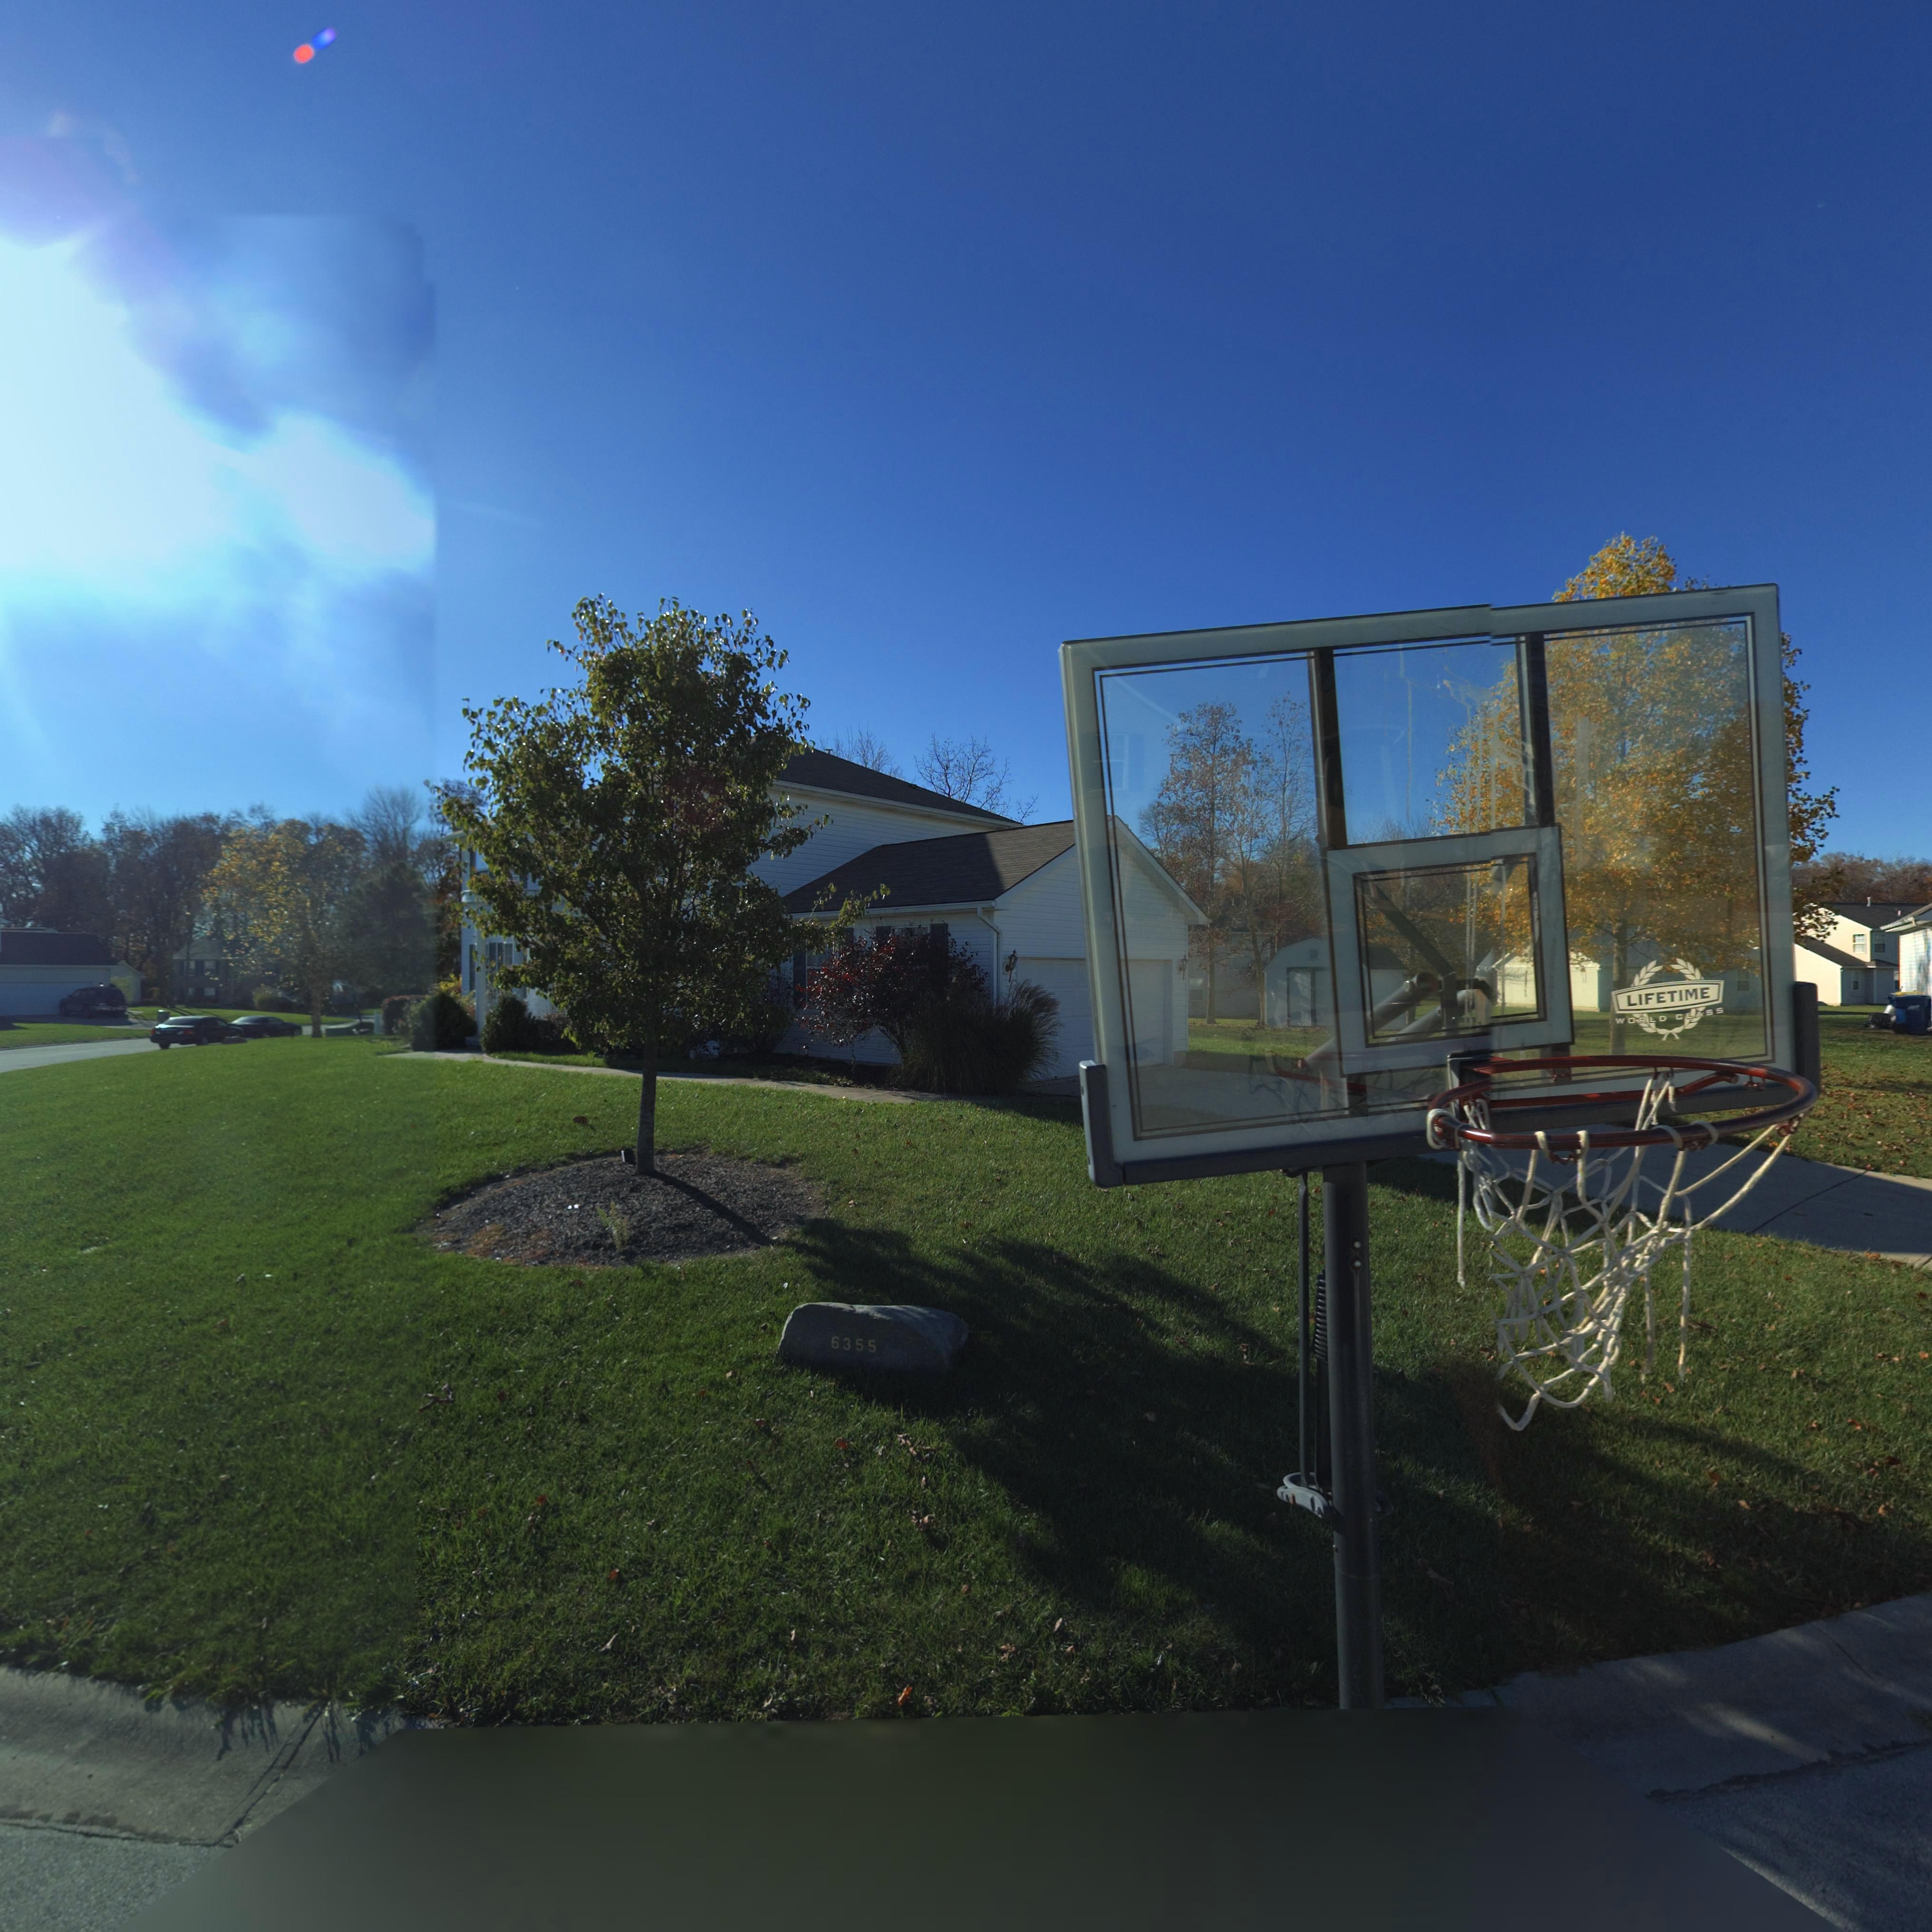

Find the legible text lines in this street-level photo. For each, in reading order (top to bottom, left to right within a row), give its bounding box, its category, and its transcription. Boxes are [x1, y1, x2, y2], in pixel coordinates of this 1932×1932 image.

[830, 1335, 877, 1354] StreetNumber: 6355